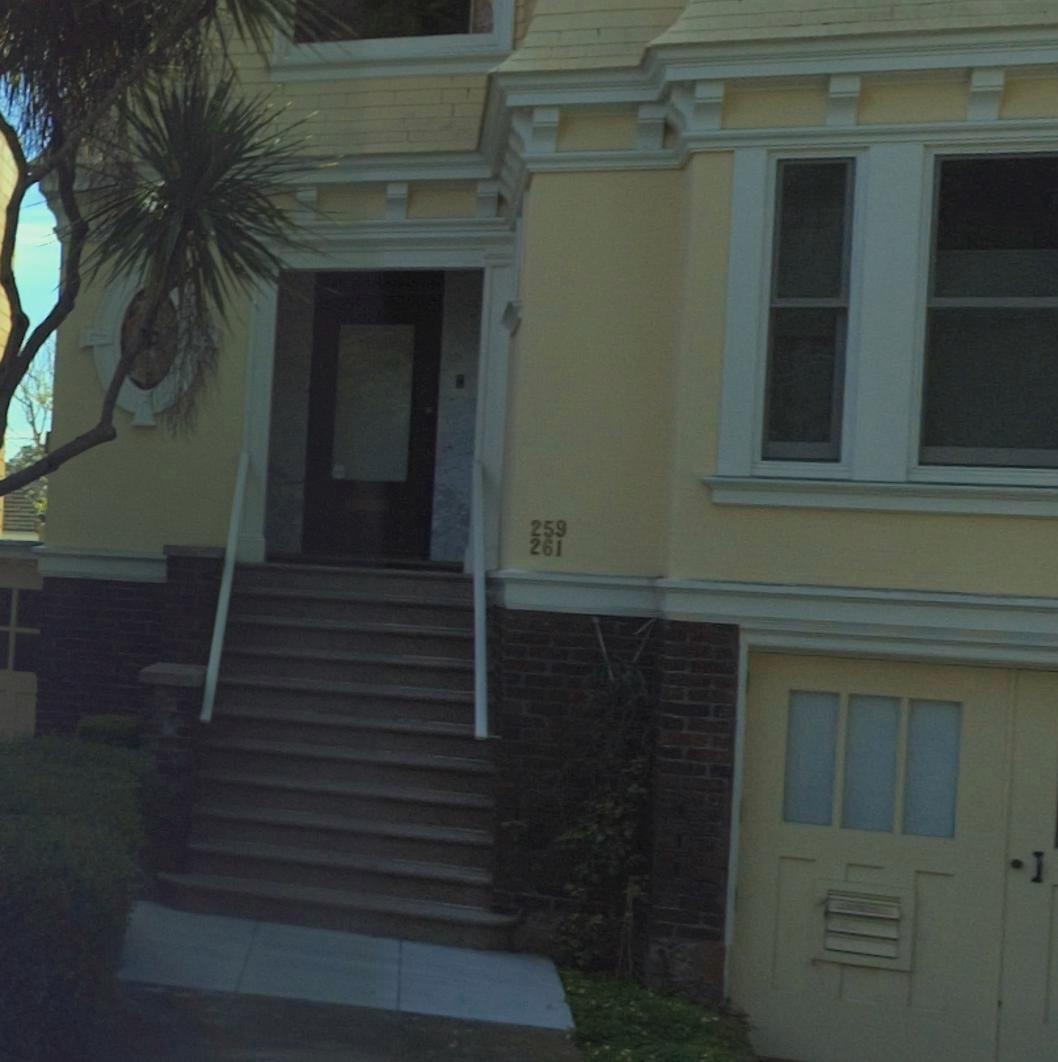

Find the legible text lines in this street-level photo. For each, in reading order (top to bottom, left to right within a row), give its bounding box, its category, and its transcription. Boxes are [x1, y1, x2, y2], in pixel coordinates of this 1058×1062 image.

[528, 518, 567, 538] StreetNumber: 259
[528, 537, 562, 557] StreetNumber: 261